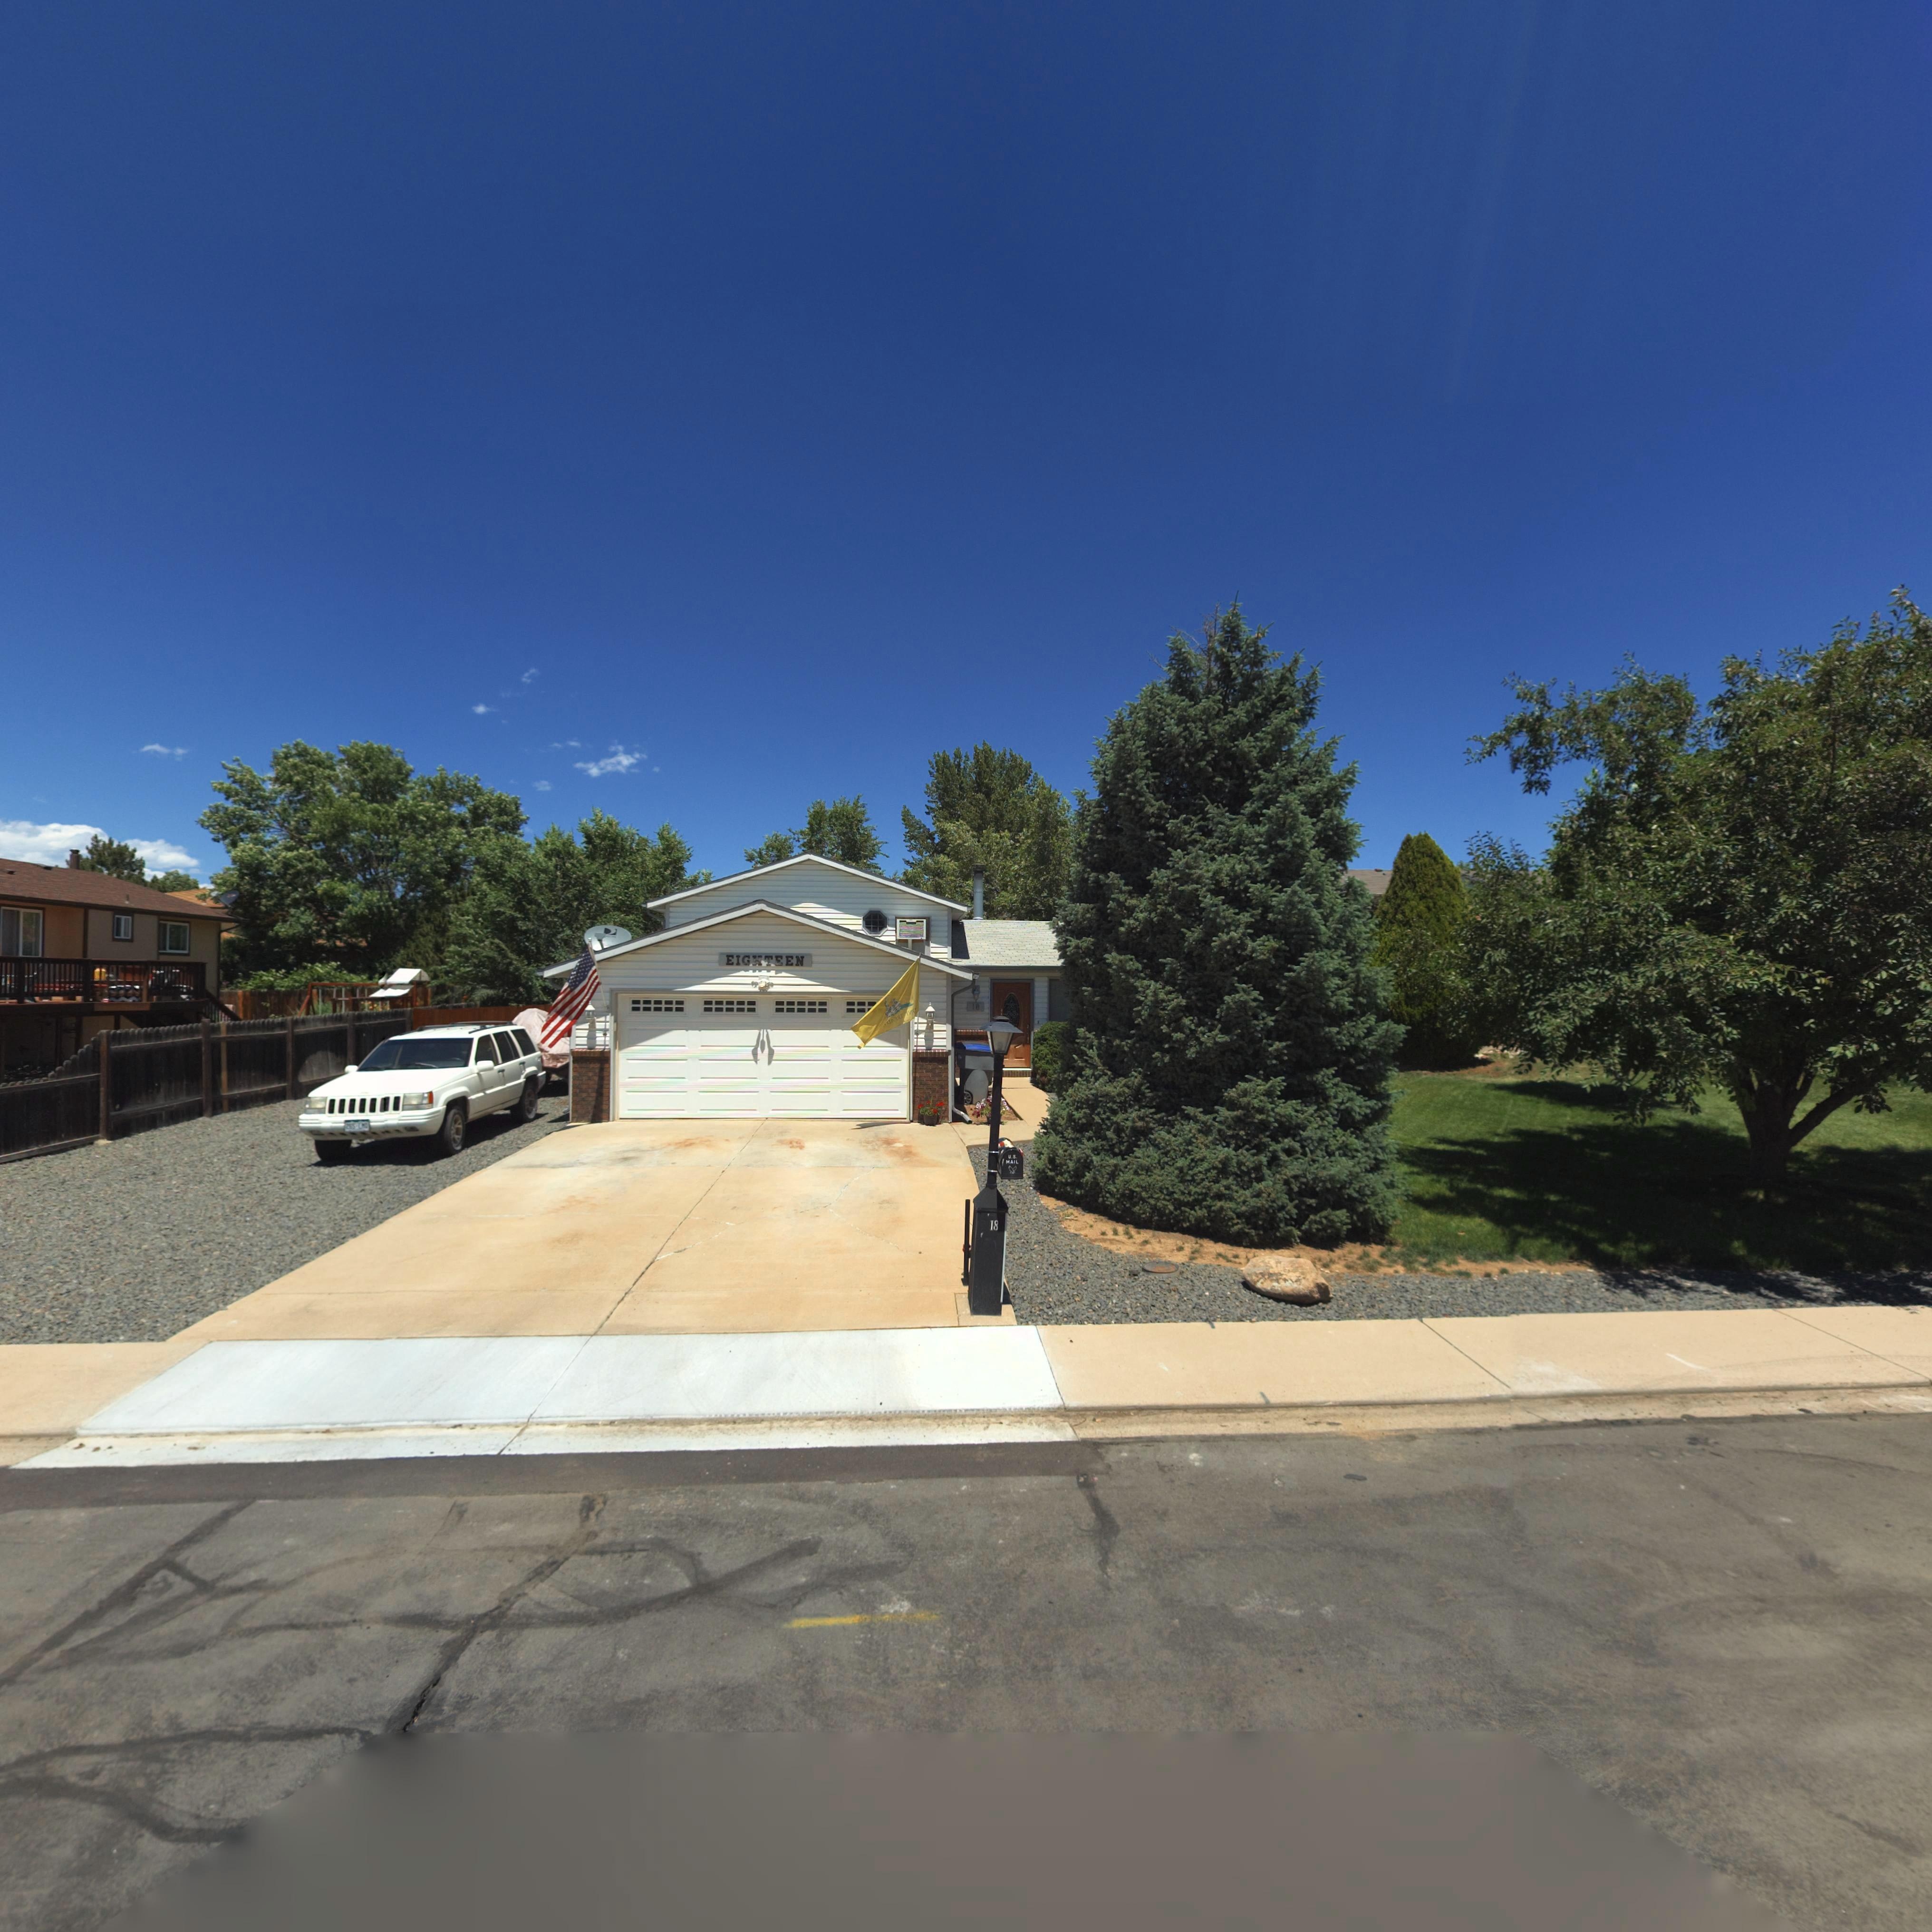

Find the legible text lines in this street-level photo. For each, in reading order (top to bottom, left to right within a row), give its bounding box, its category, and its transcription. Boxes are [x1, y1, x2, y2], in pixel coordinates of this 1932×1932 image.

[724, 954, 805, 966] StreetNumber: EIGHTEEN
[972, 1003, 980, 1010] StreetNumber: 18
[989, 1219, 999, 1231] StreetNumber: 18